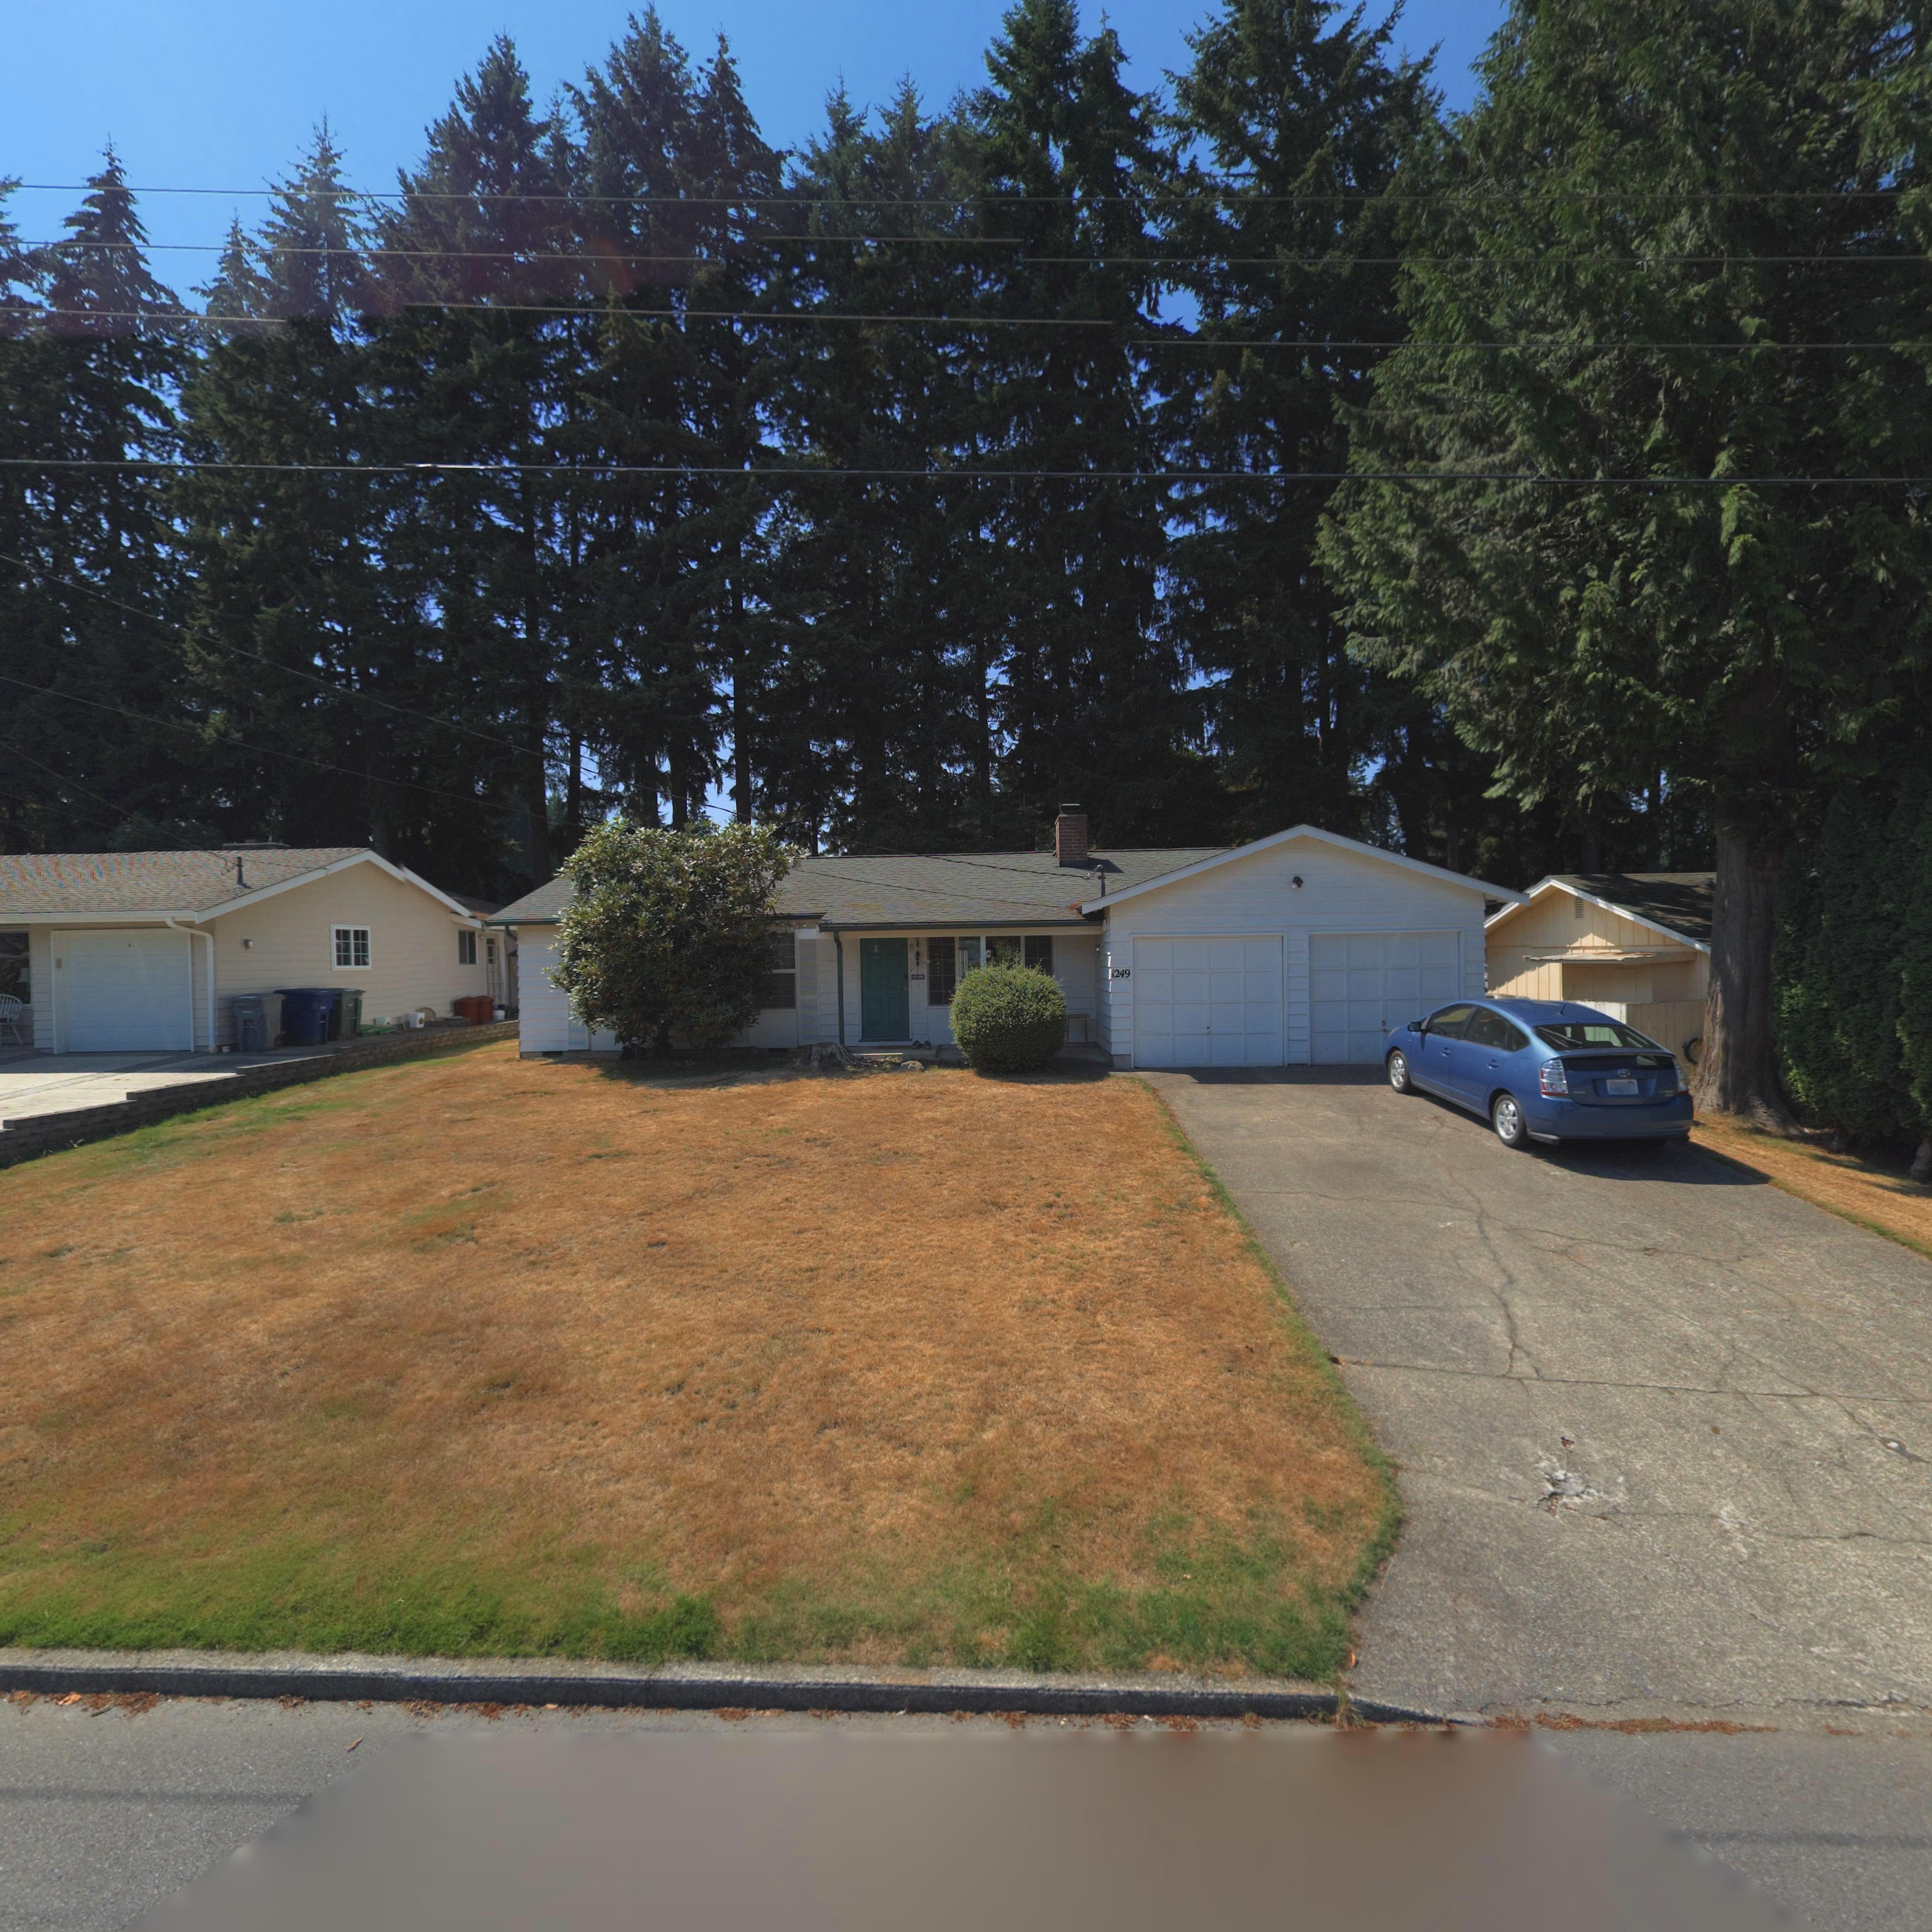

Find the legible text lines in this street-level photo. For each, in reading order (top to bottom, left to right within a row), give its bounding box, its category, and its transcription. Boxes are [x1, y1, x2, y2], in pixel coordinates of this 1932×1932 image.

[1111, 968, 1130, 978] StreetNumber: 1249